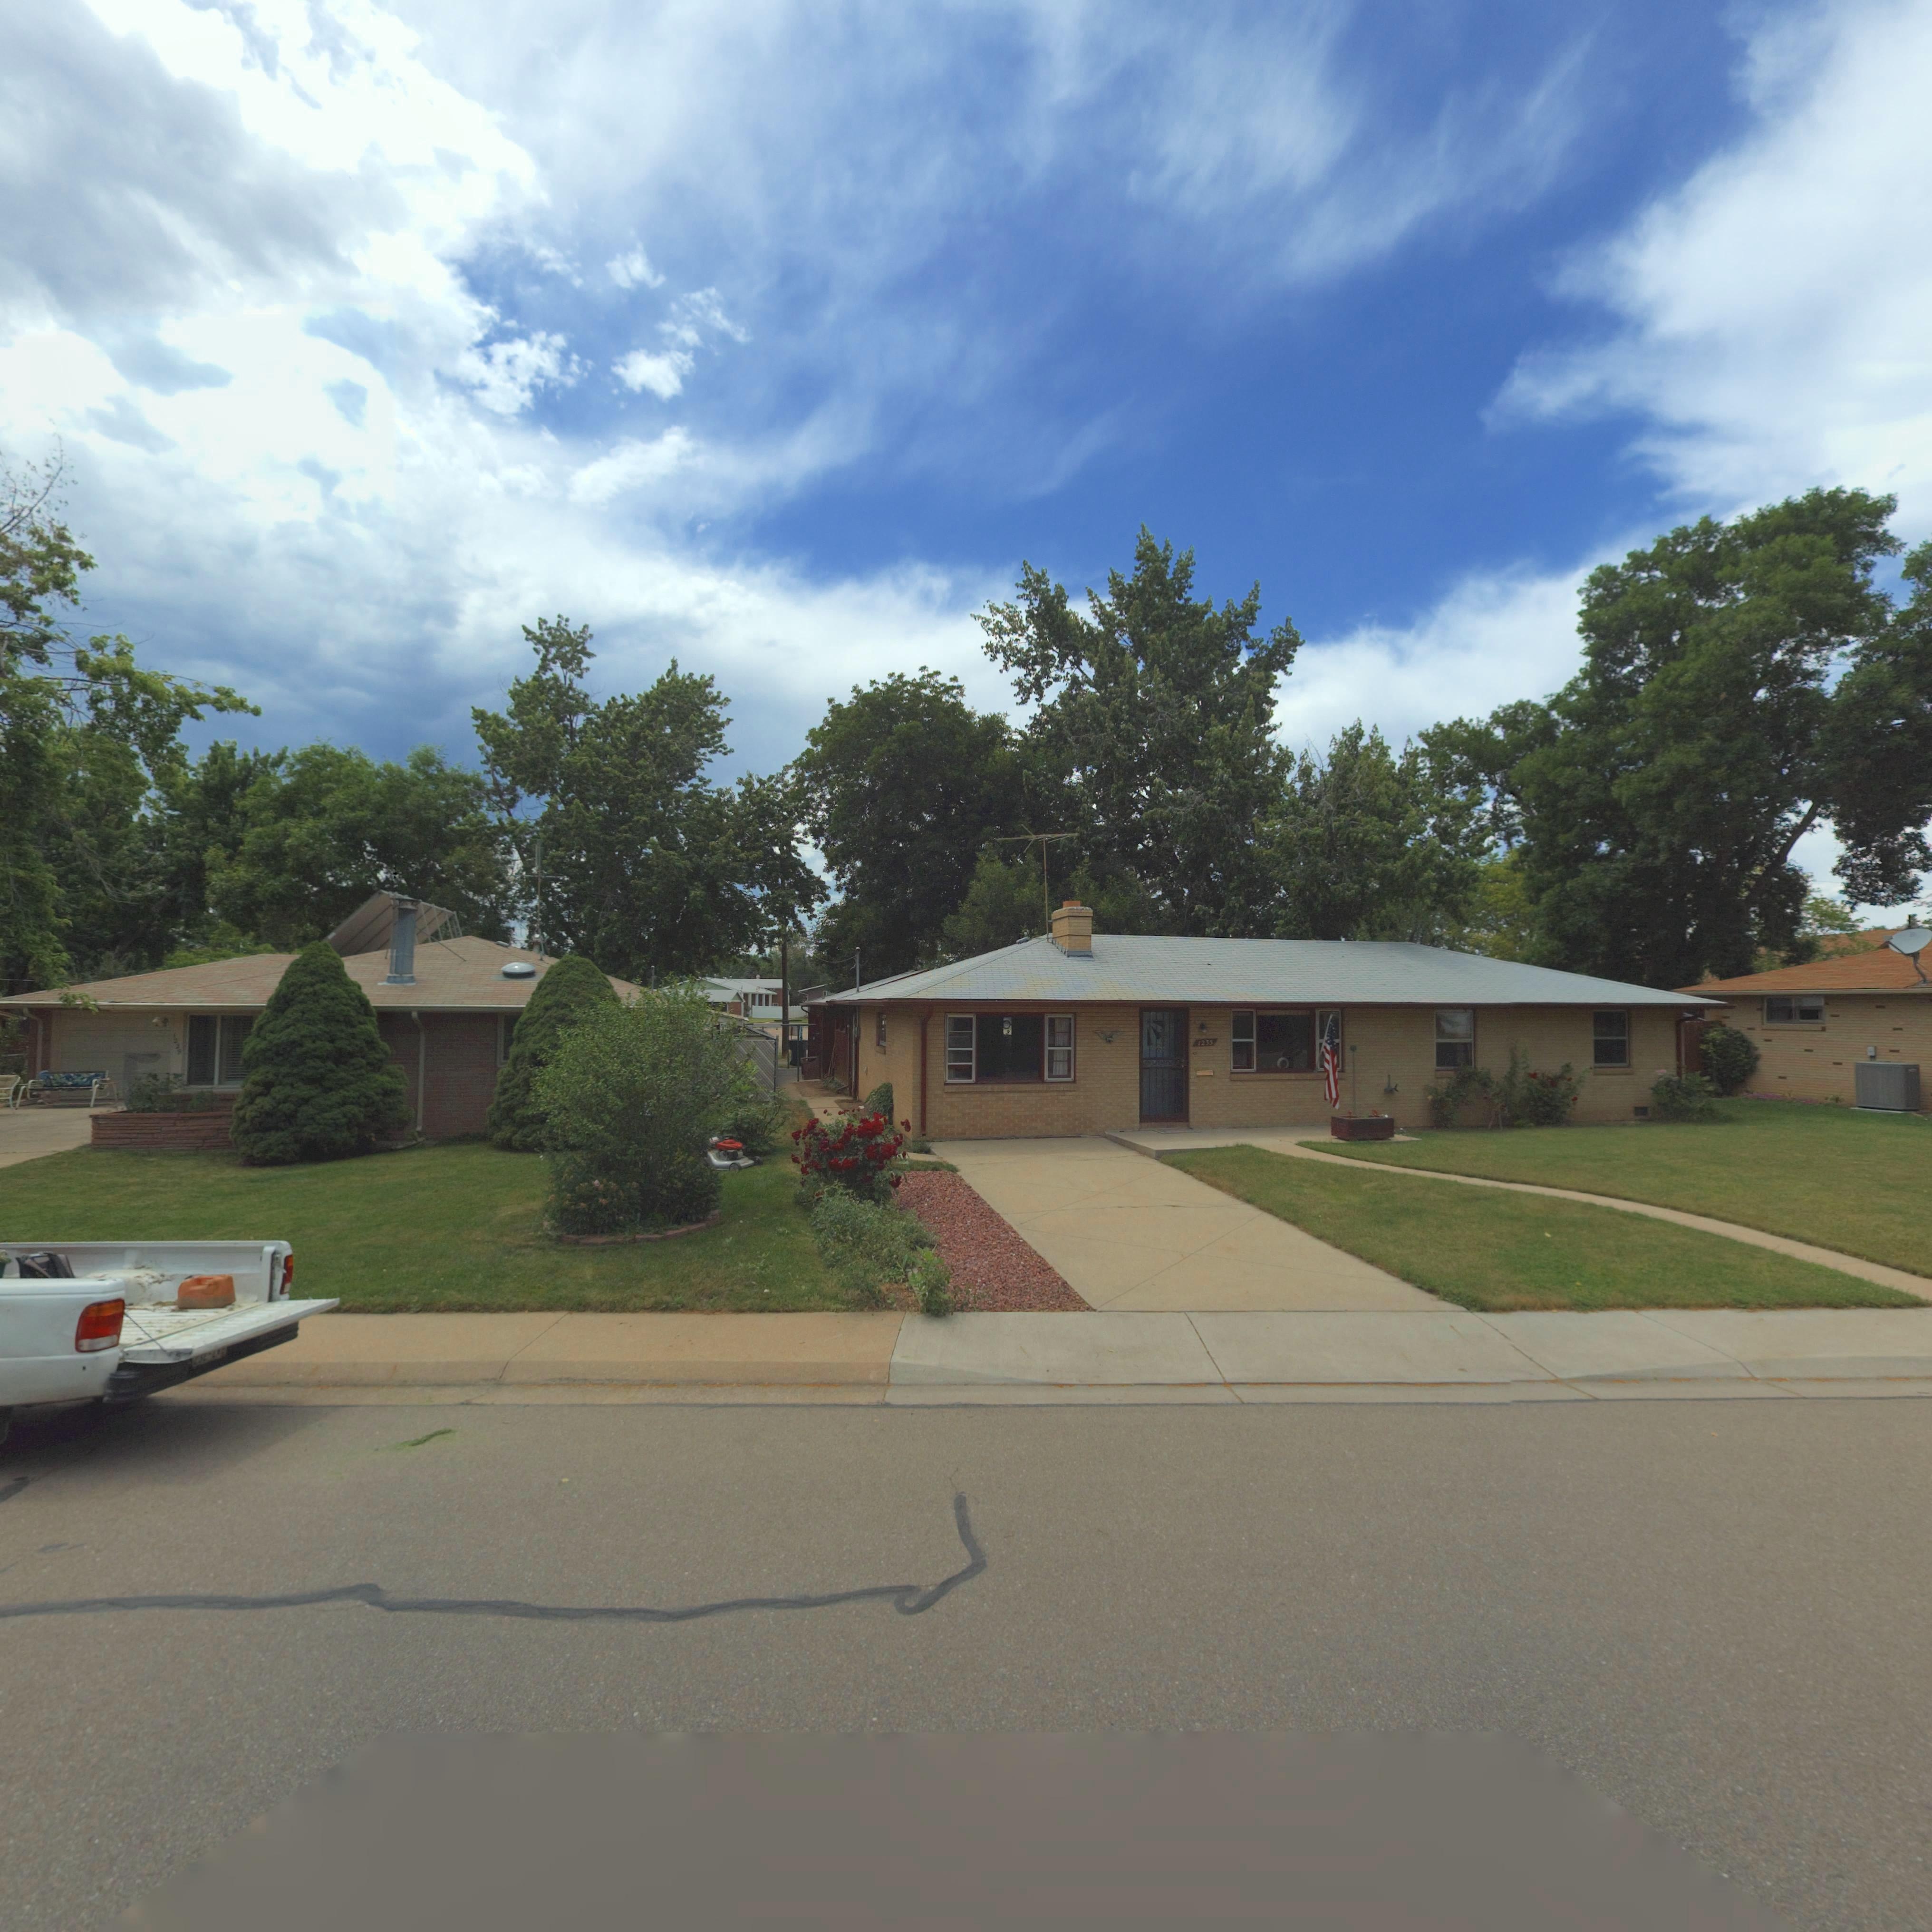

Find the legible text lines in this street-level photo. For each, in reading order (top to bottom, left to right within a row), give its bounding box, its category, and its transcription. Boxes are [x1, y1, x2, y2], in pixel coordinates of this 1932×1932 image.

[171, 1032, 182, 1055] StreetNumber: 1**8
[1197, 1039, 1213, 1045] StreetNumber: 1235